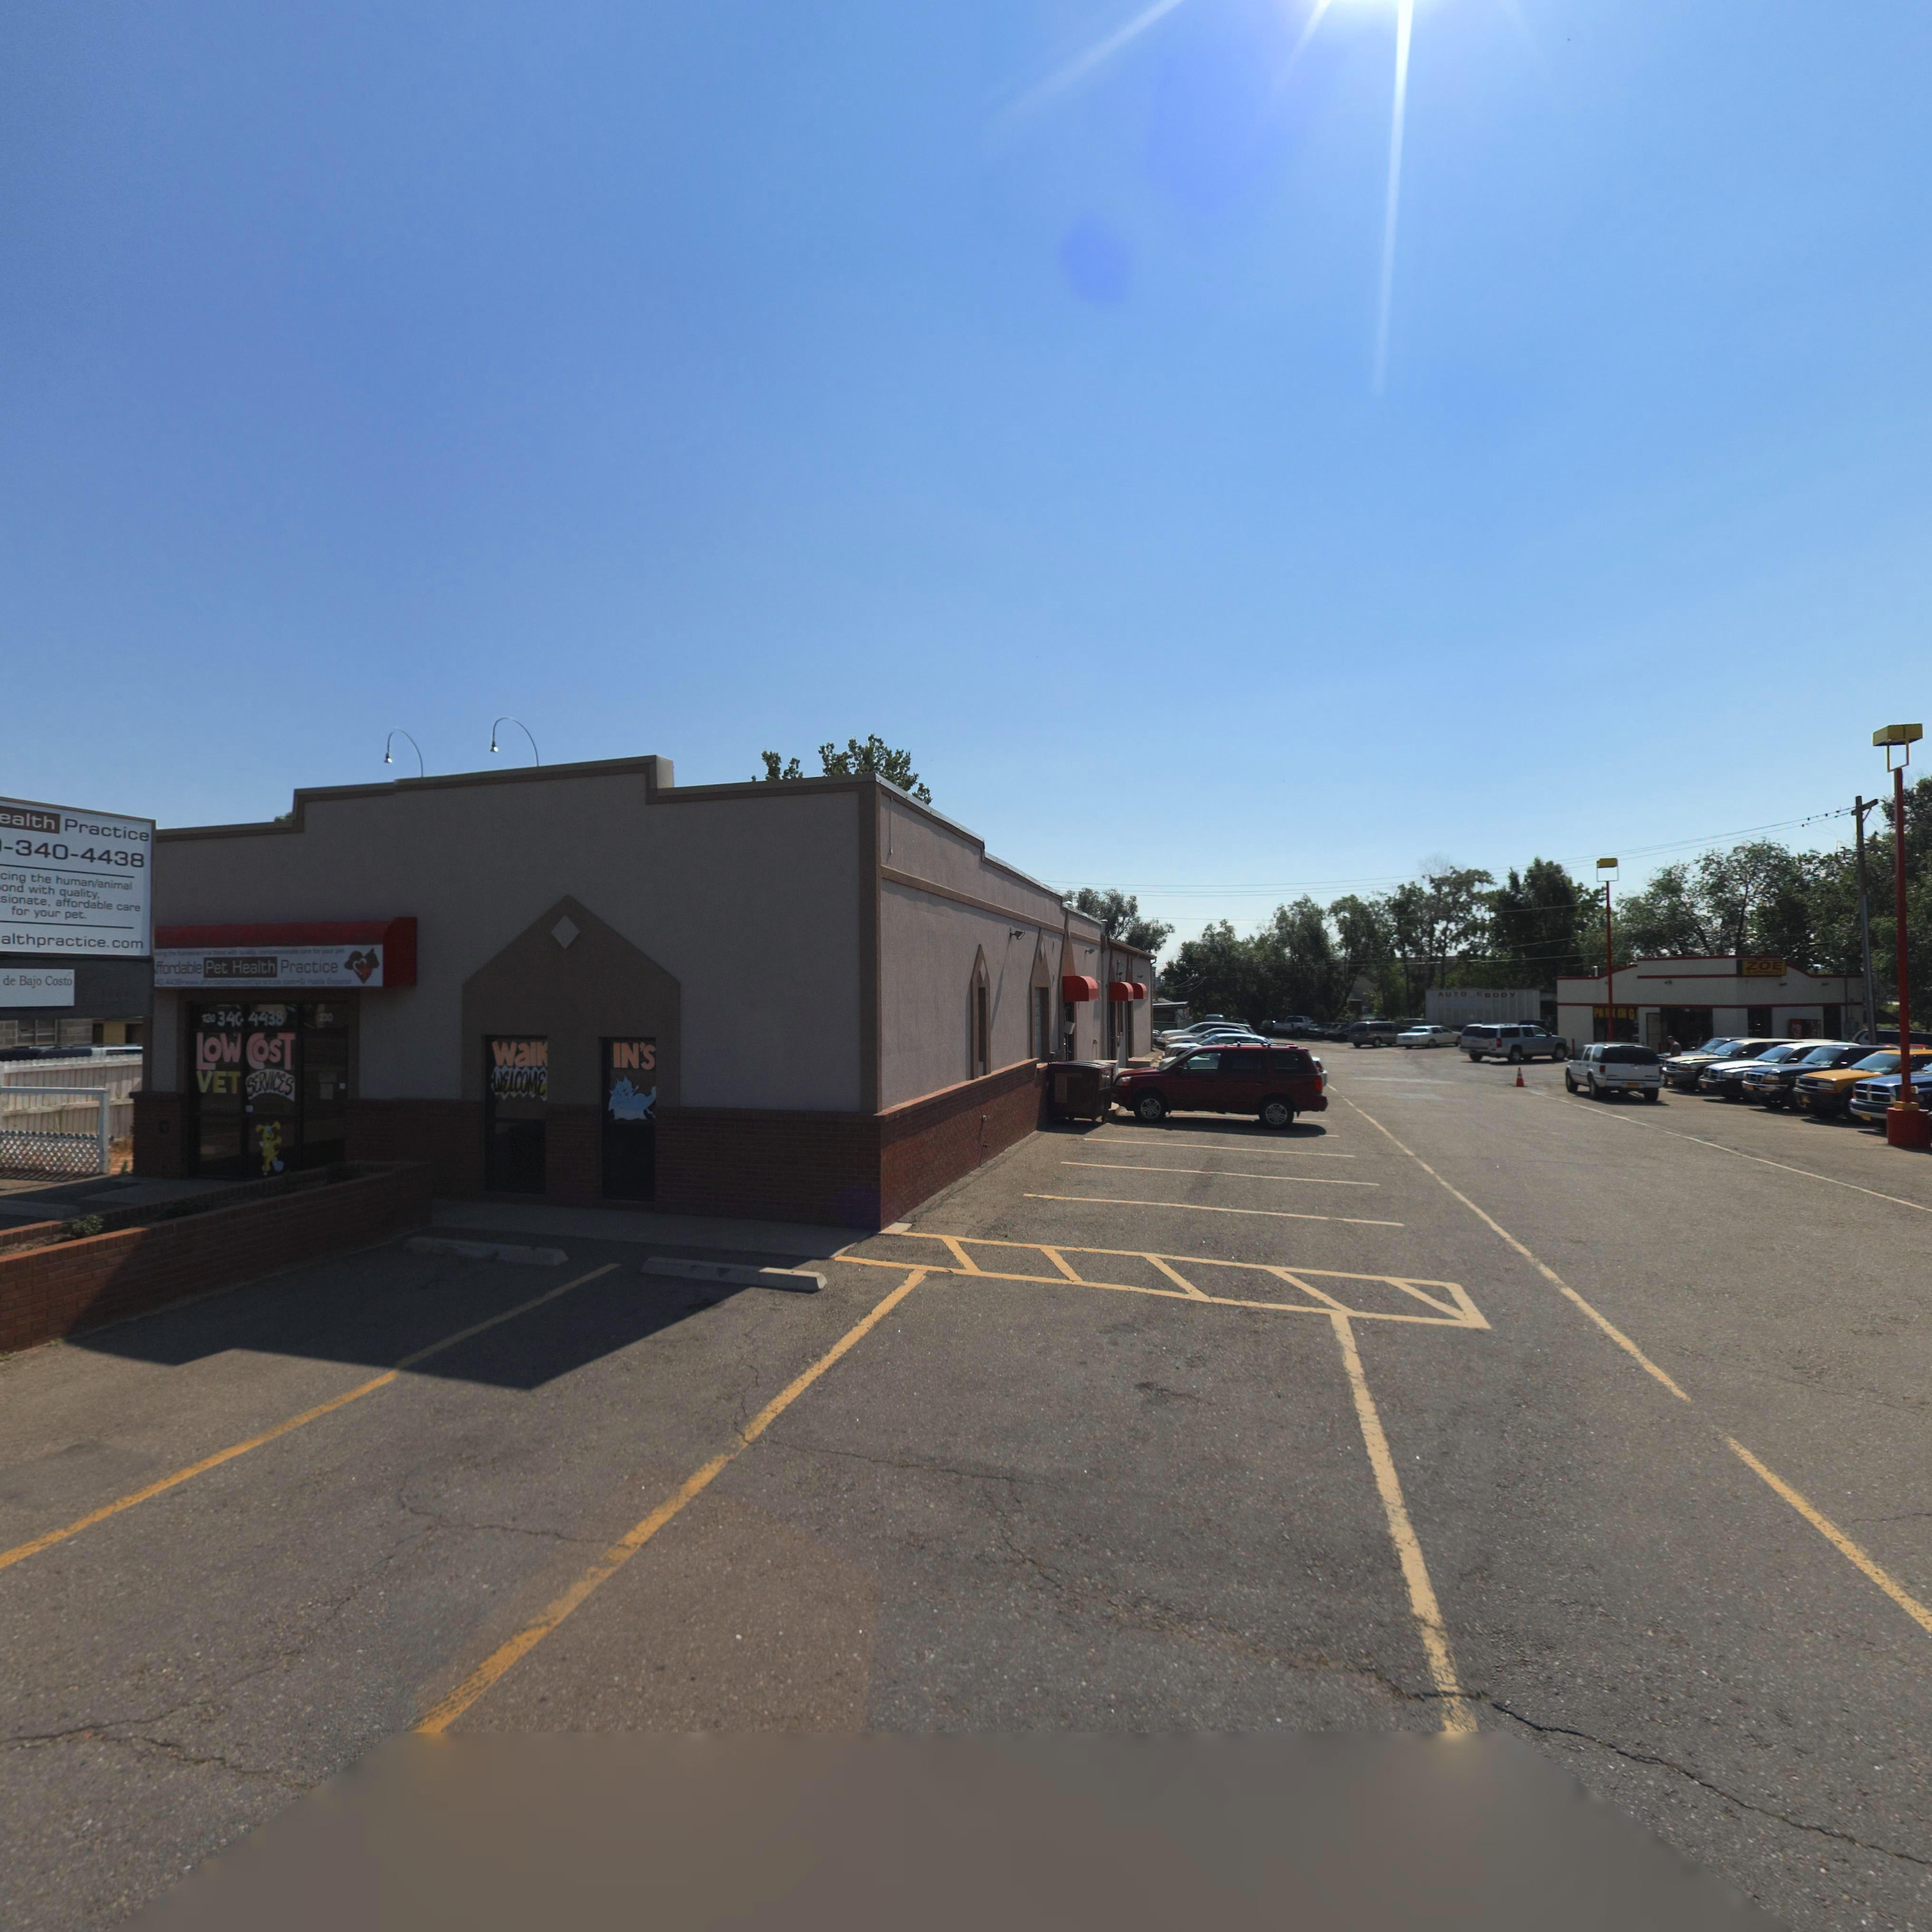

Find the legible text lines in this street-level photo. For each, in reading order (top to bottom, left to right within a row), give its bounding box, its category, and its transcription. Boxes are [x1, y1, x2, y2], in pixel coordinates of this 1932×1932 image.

[11, 812, 150, 842] BusinessName: alth Practice
[155, 958, 339, 975] BusinessName: ffordable Pet Health Practice
[1745, 961, 1783, 970] BusinessName: ZOE